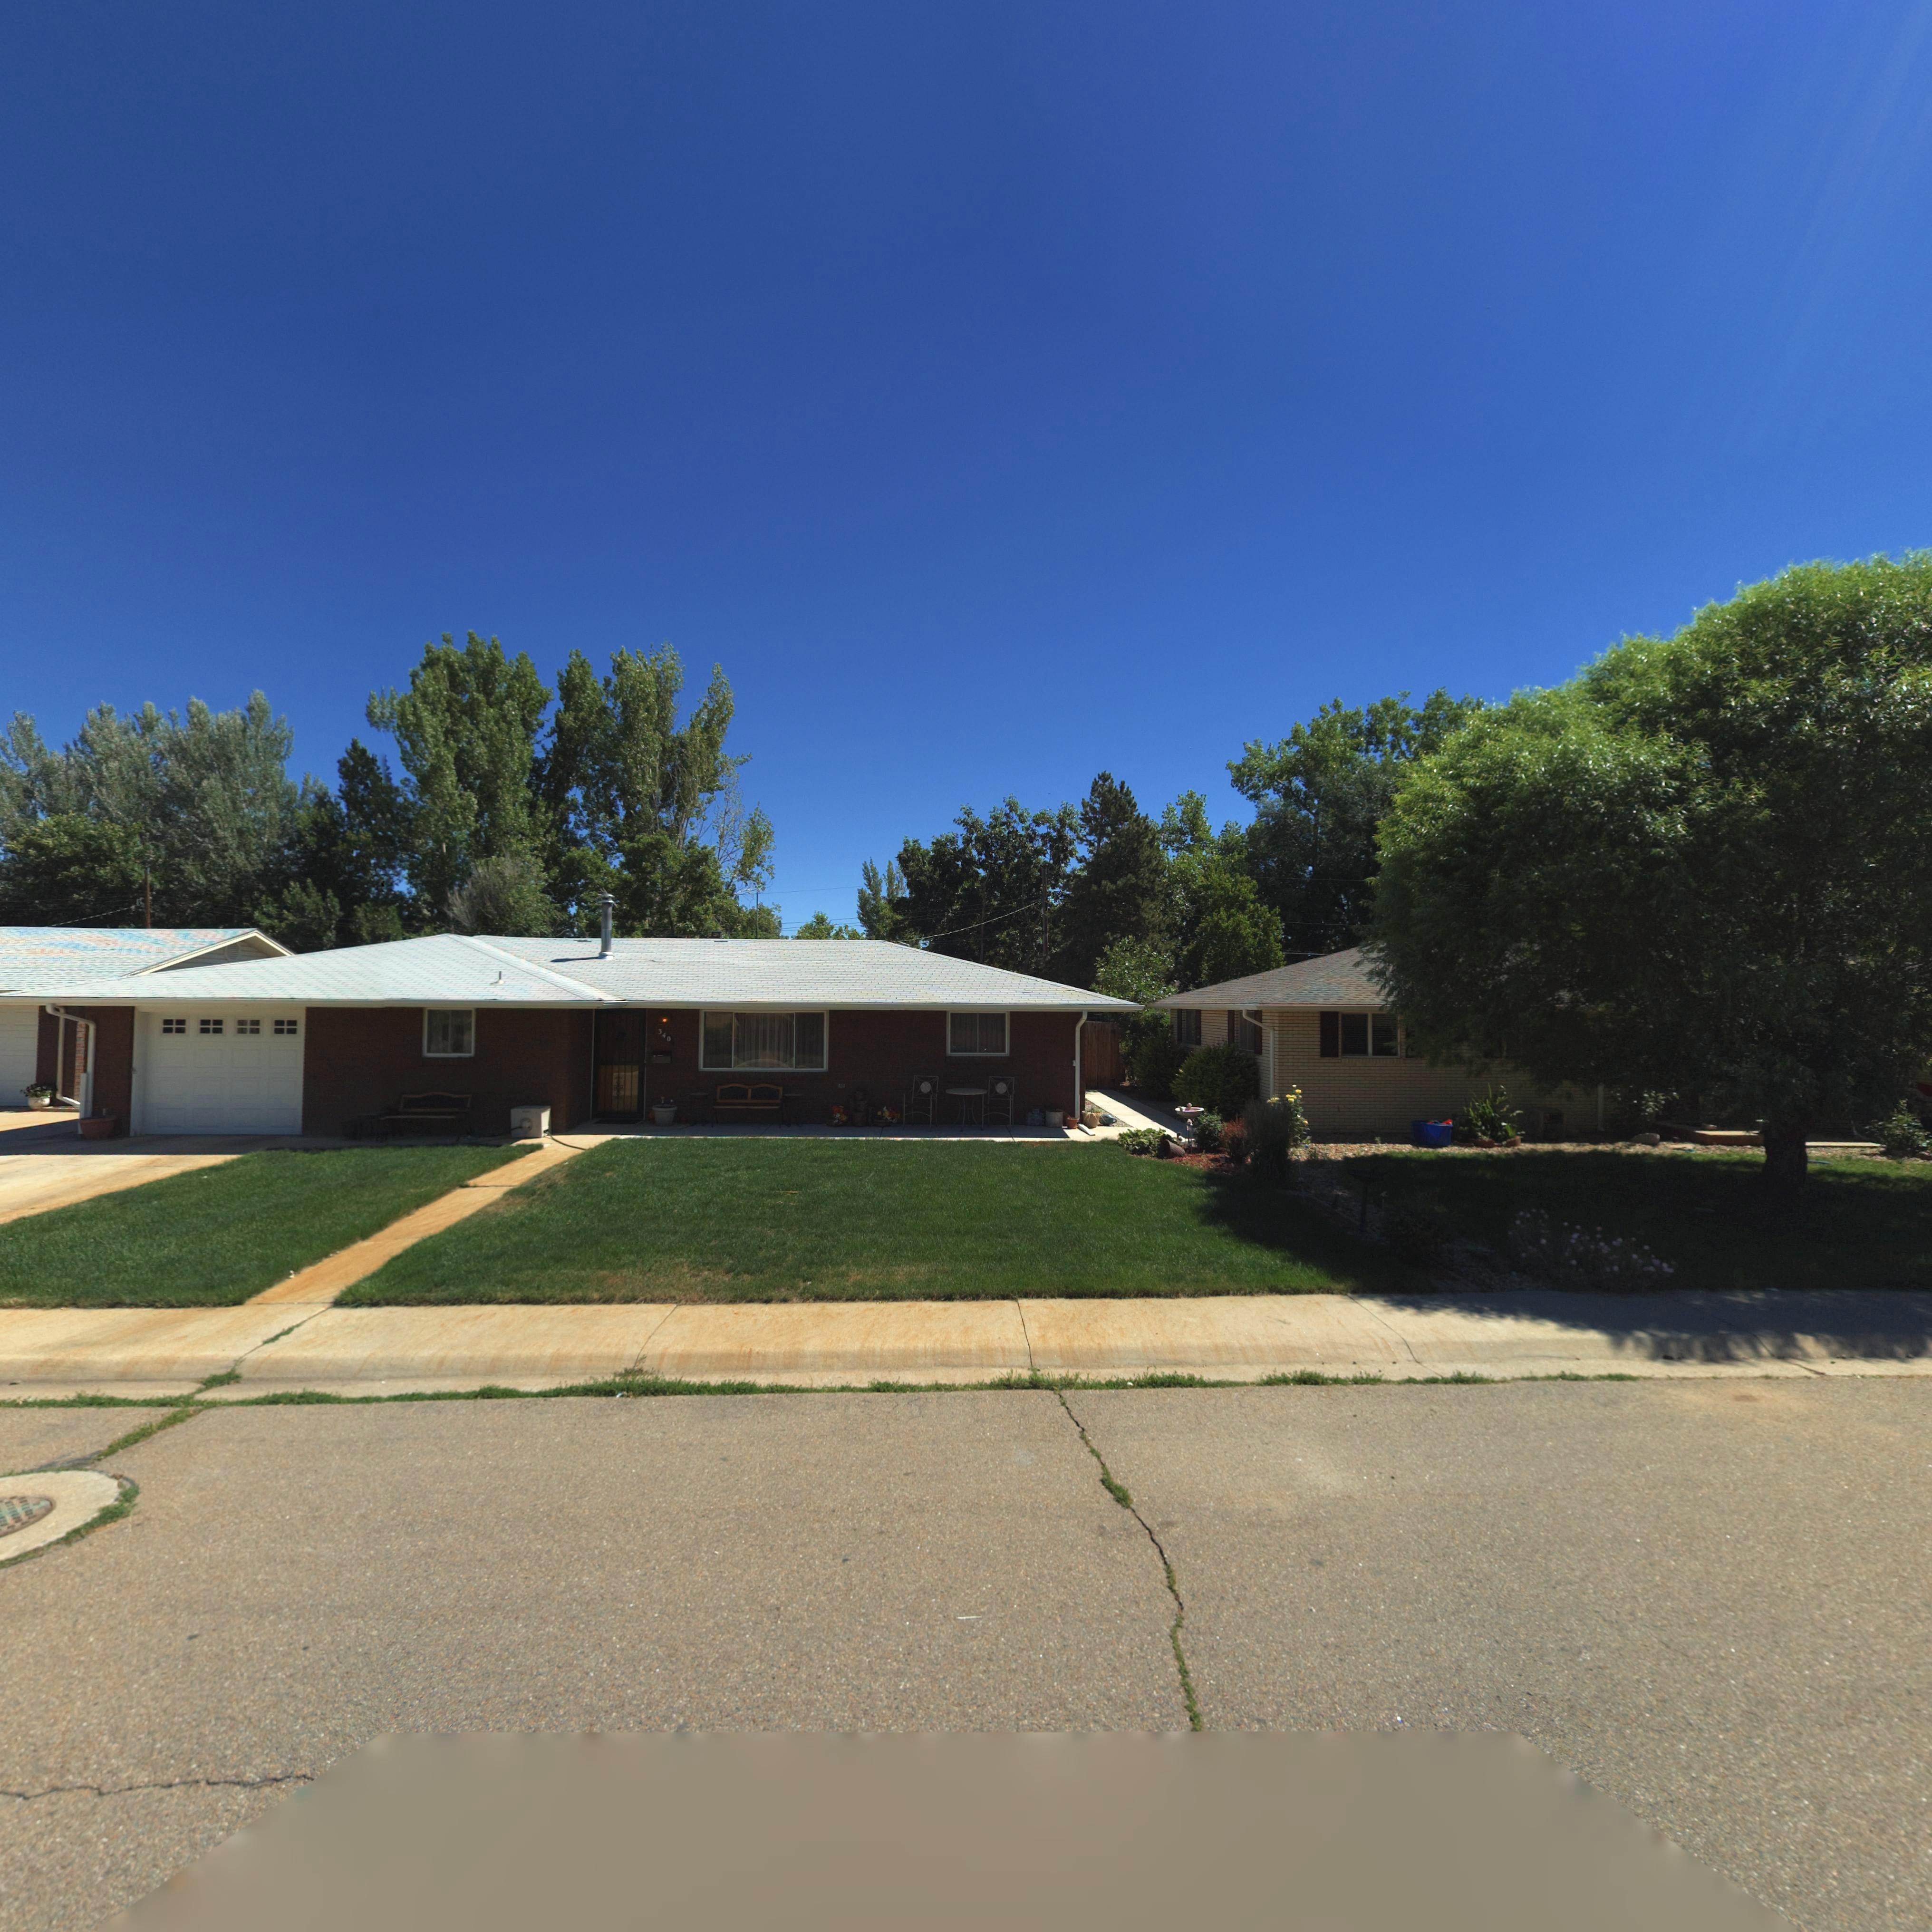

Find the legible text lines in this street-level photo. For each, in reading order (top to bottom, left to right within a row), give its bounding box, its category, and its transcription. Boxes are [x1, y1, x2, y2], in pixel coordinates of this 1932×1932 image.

[657, 1028, 671, 1042] StreetNumber: 340